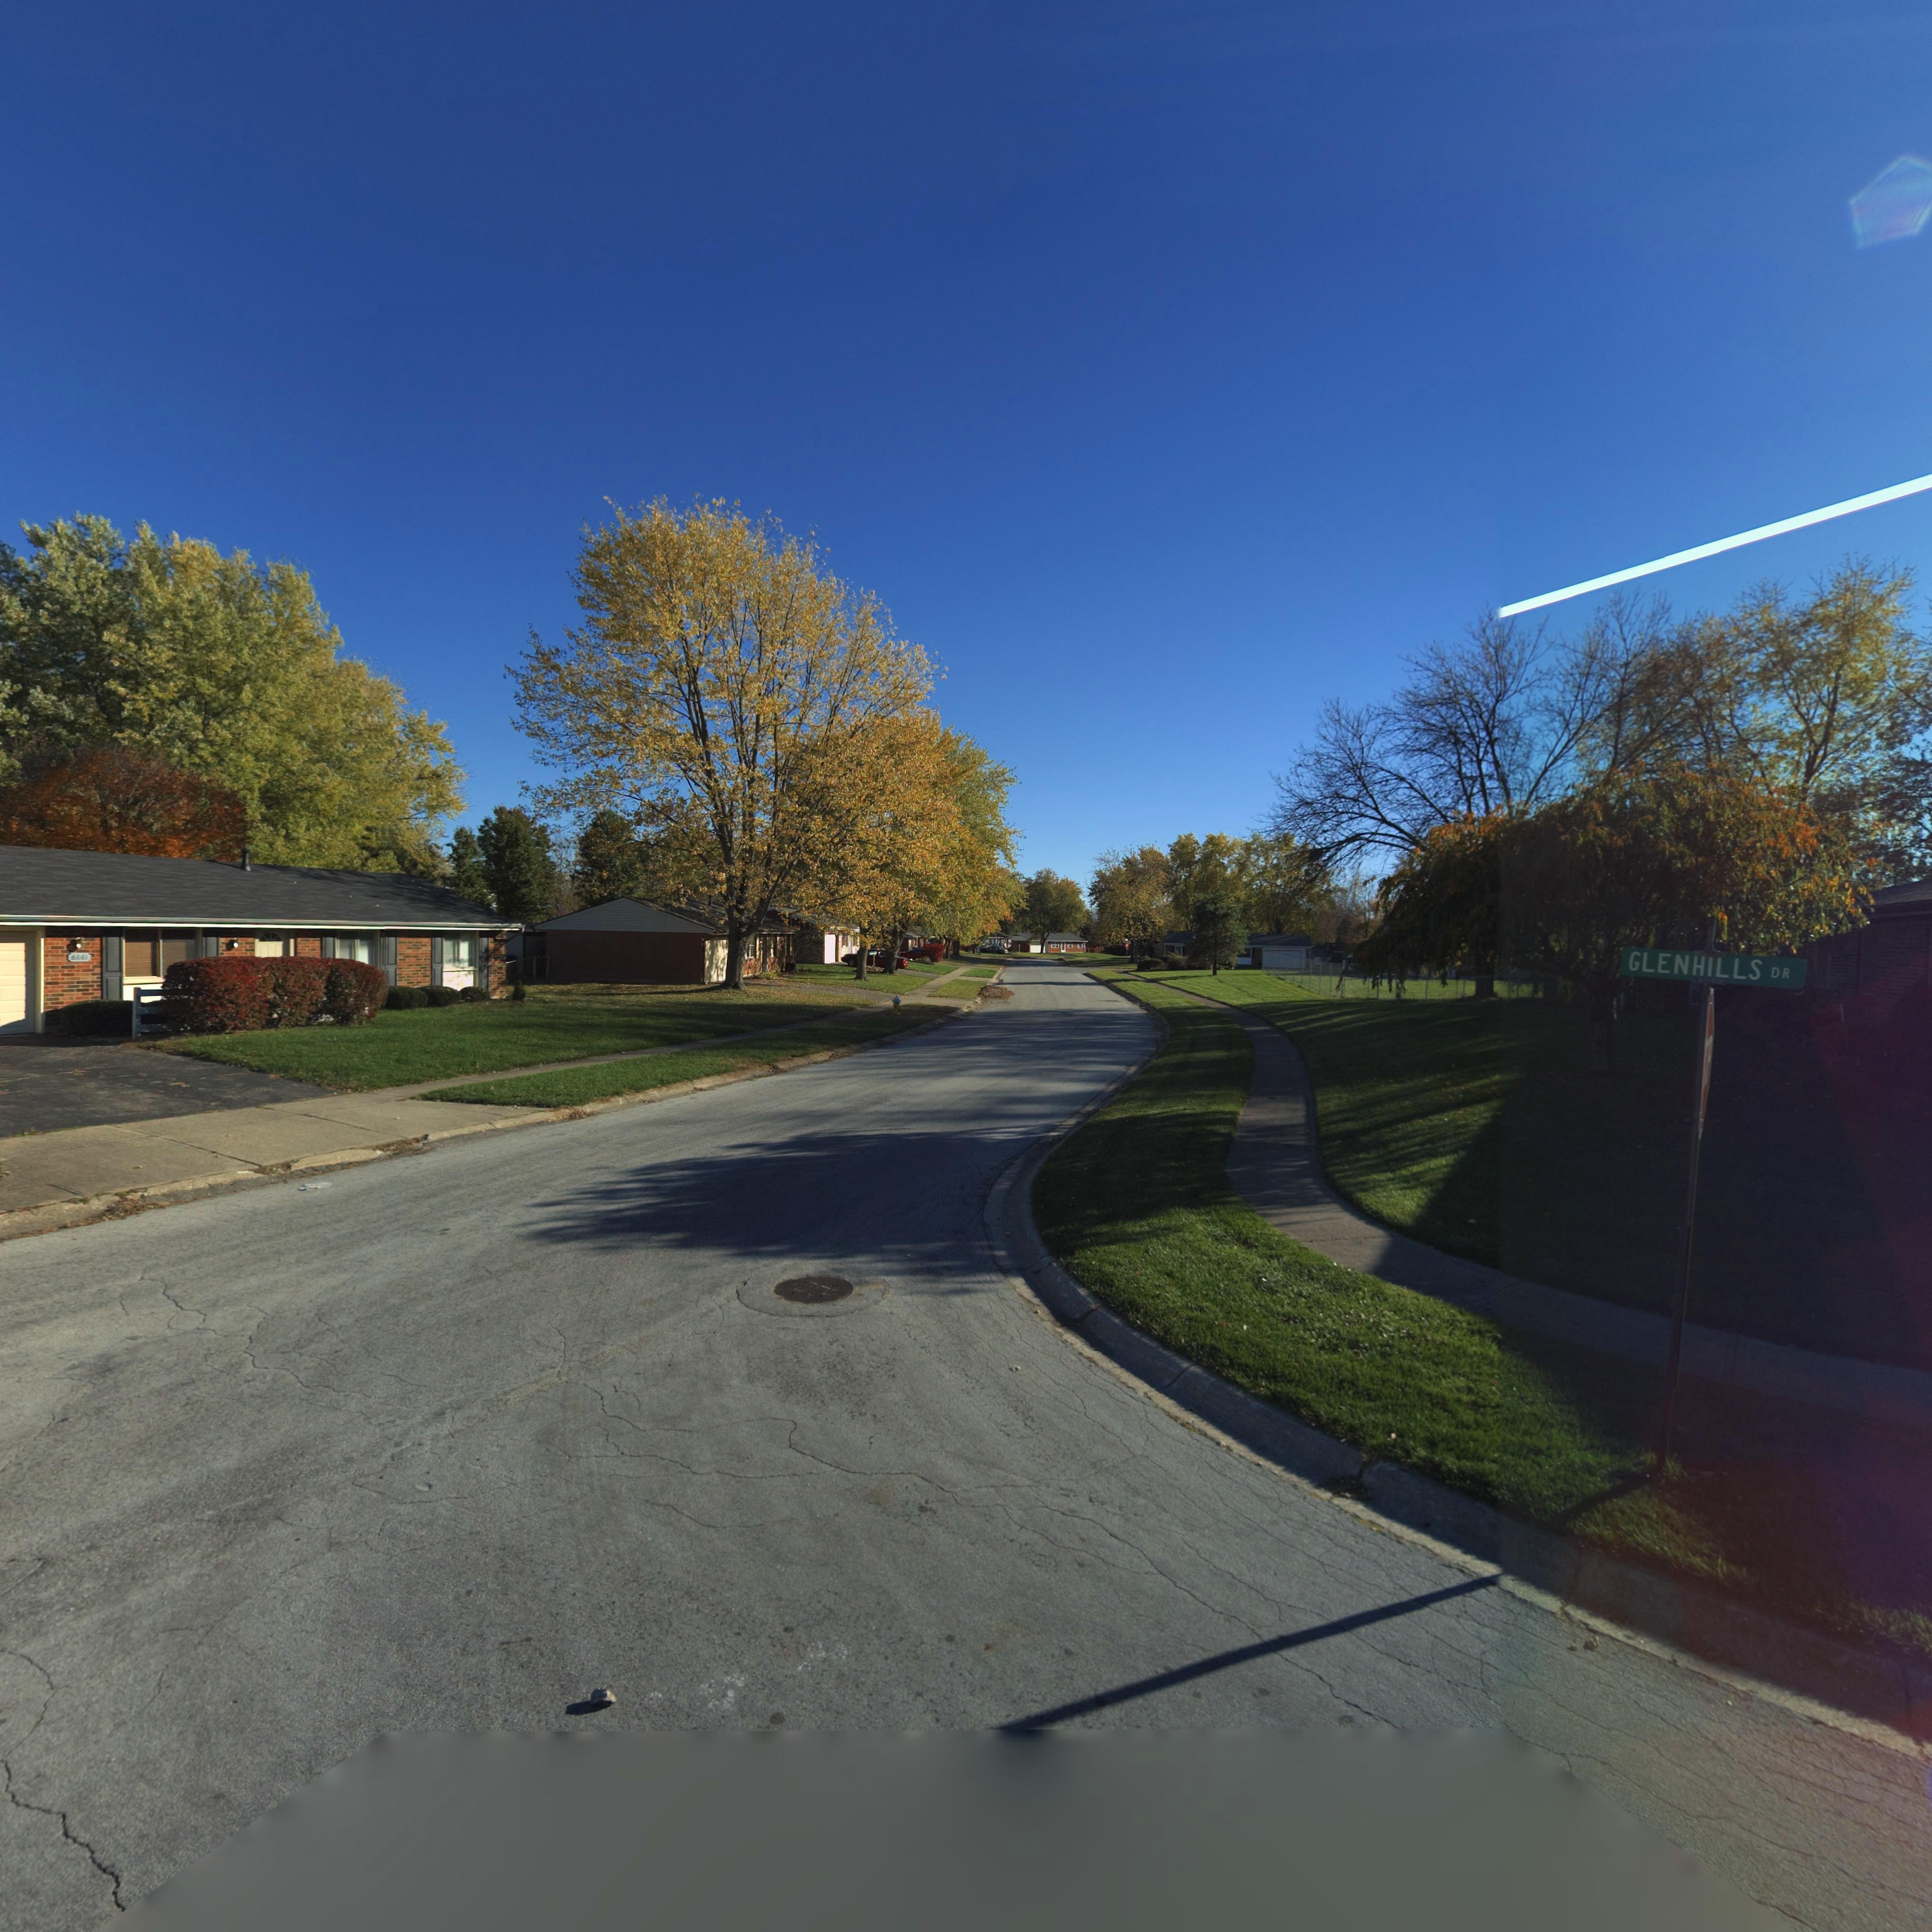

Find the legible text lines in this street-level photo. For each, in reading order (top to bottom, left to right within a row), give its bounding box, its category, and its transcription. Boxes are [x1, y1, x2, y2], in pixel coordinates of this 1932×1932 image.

[70, 954, 88, 961] StreetNumber: 6661